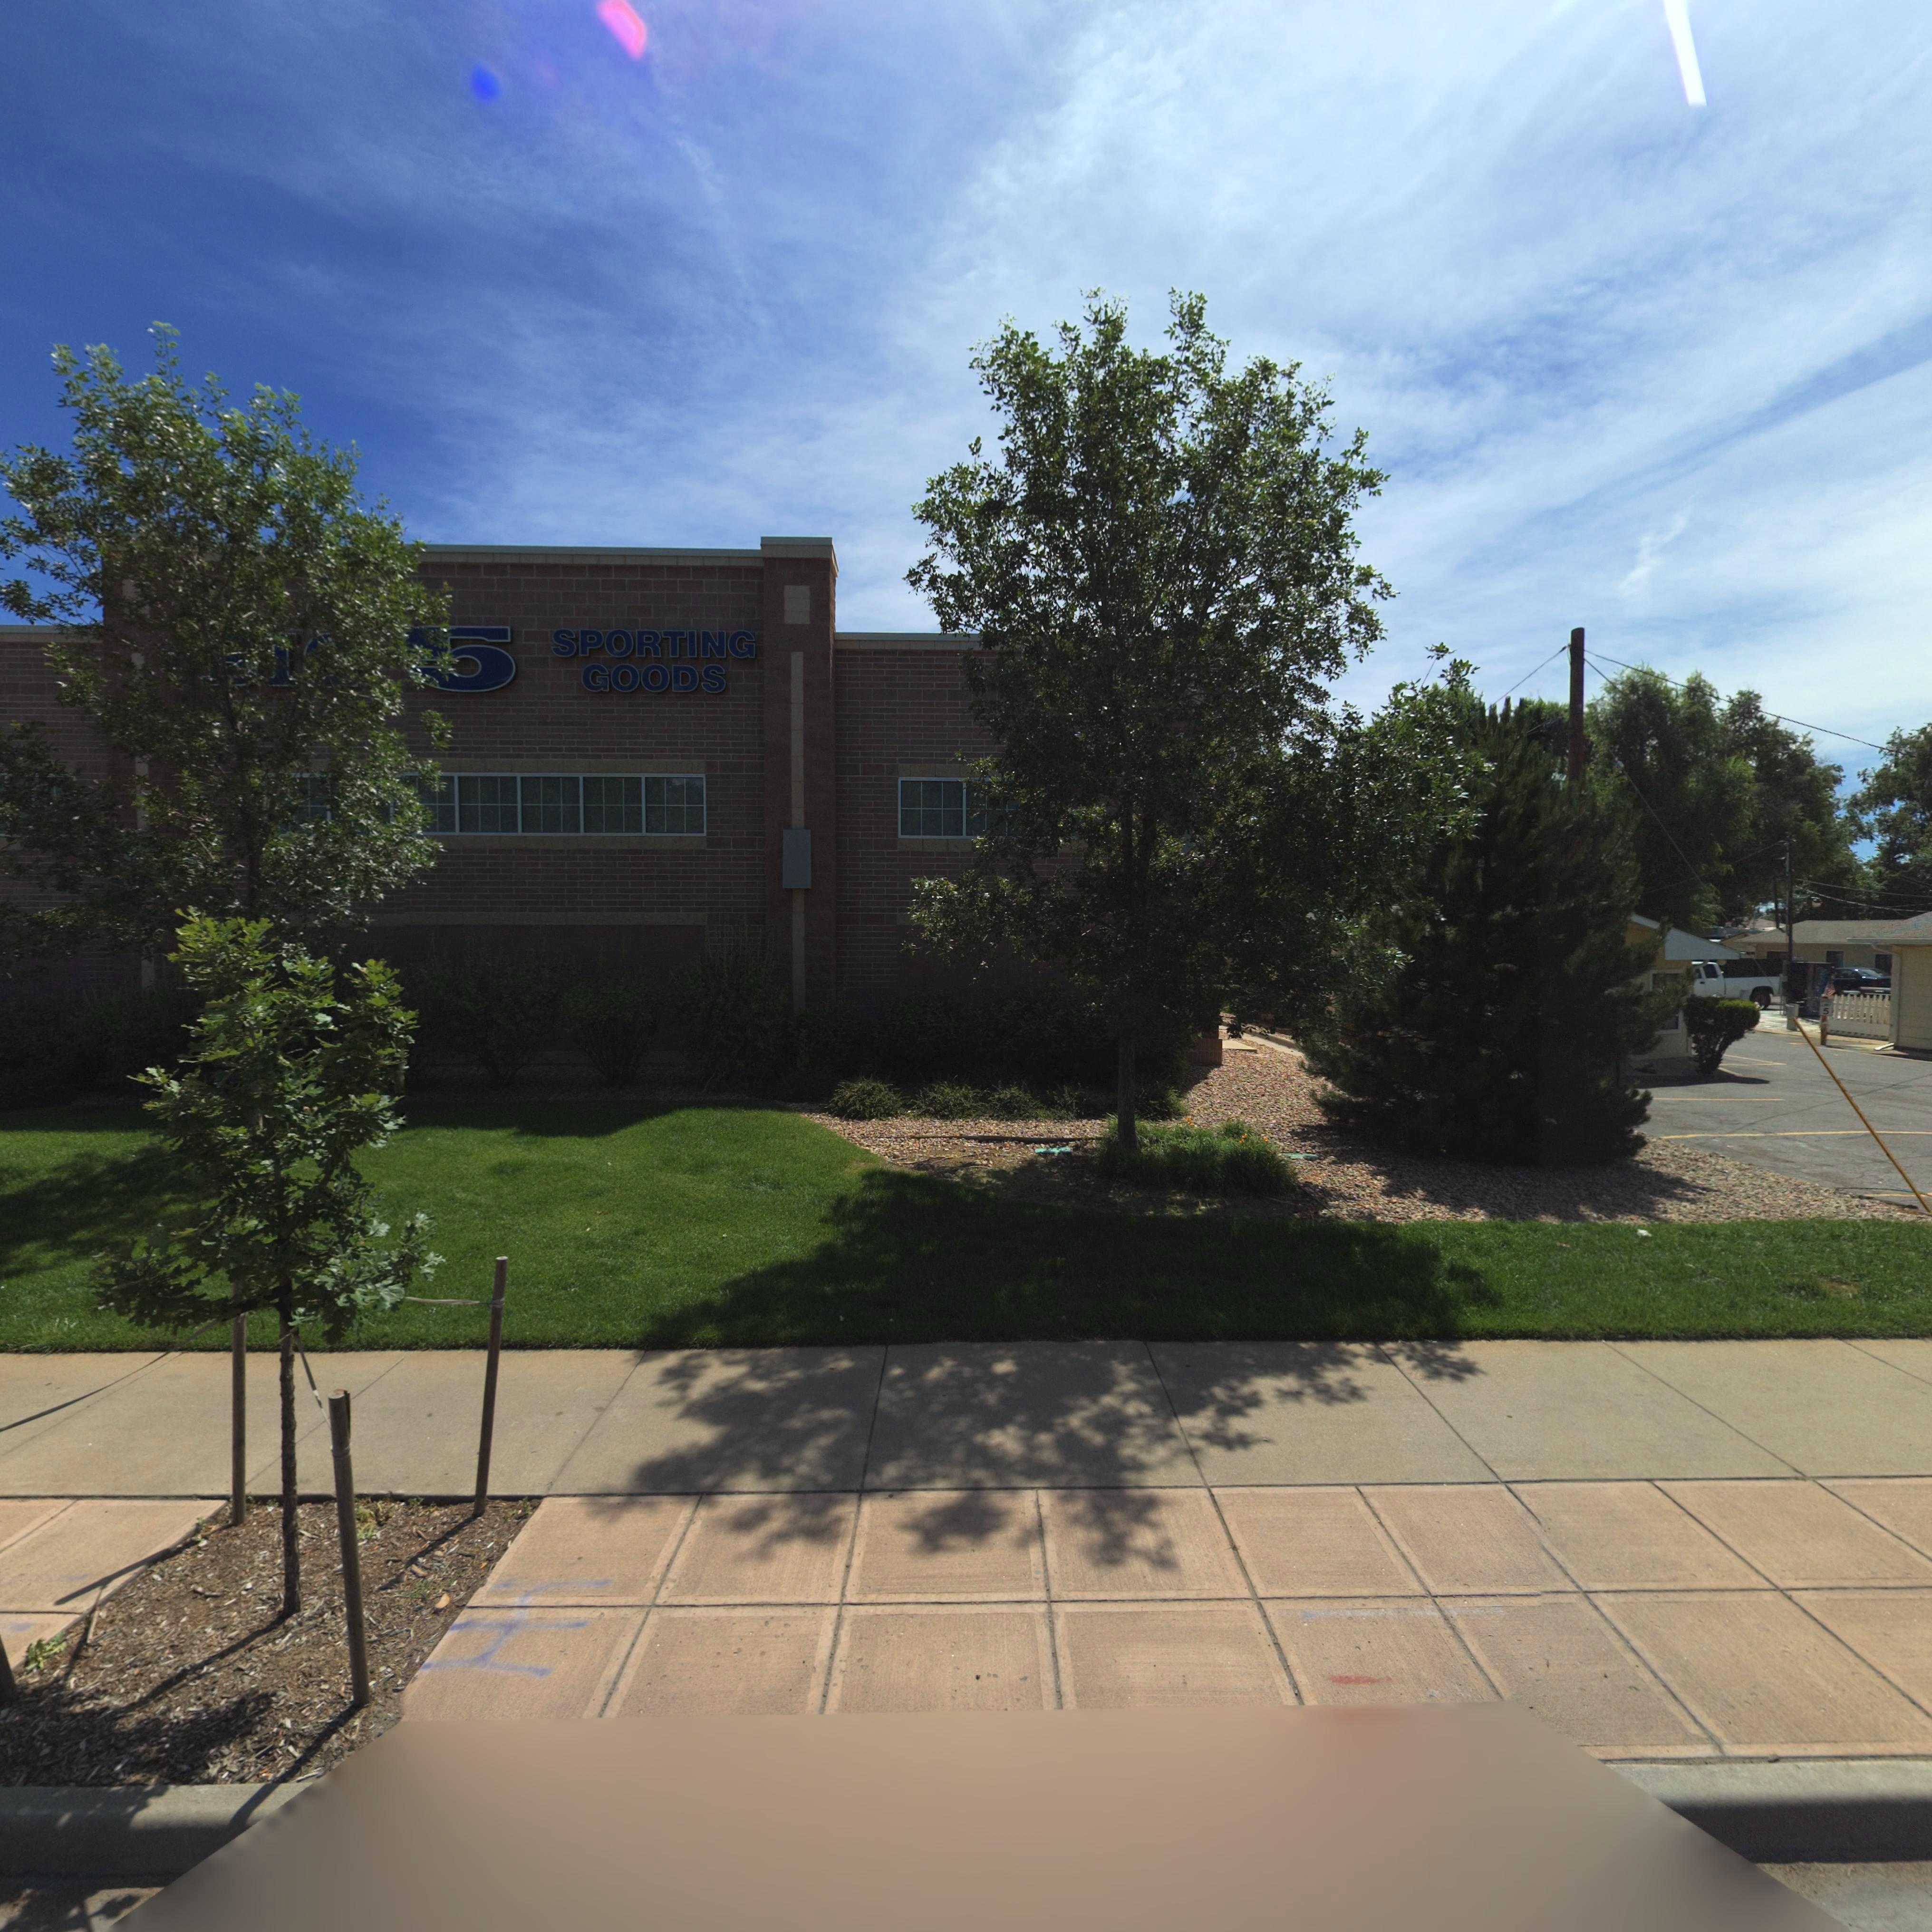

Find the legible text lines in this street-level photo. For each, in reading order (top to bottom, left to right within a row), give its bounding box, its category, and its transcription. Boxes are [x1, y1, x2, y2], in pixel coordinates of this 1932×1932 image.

[200, 621, 519, 698] BusinessName: *** 5
[550, 627, 757, 661] BusinessName: SPORTING
[580, 663, 727, 693] BusinessName: GOODS